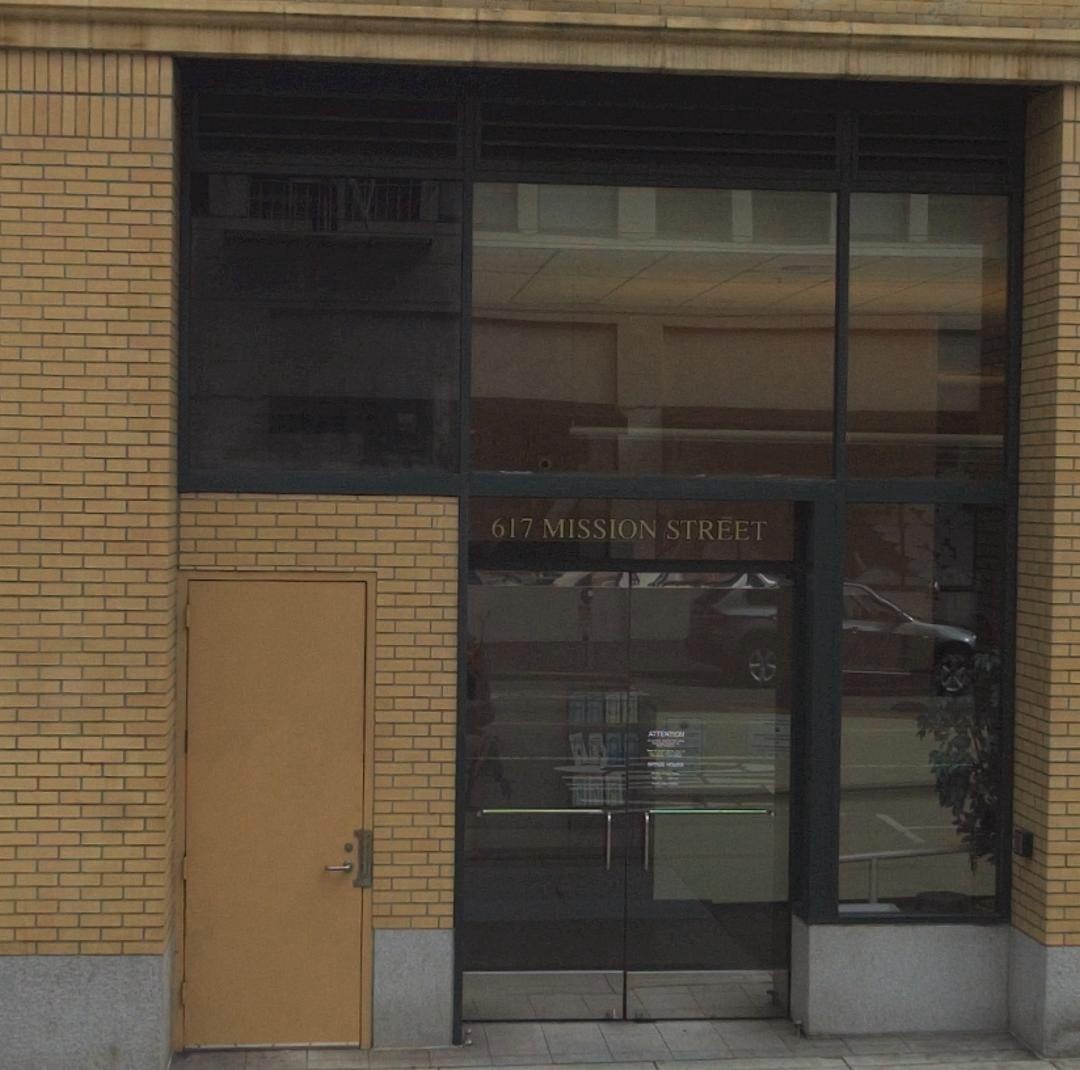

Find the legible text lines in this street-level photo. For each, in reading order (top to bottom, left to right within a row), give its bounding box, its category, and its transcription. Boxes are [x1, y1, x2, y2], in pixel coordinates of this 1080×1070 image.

[489, 516, 535, 541] StreetNumber: 617
[540, 517, 772, 542] StreetName: MISSION STREET